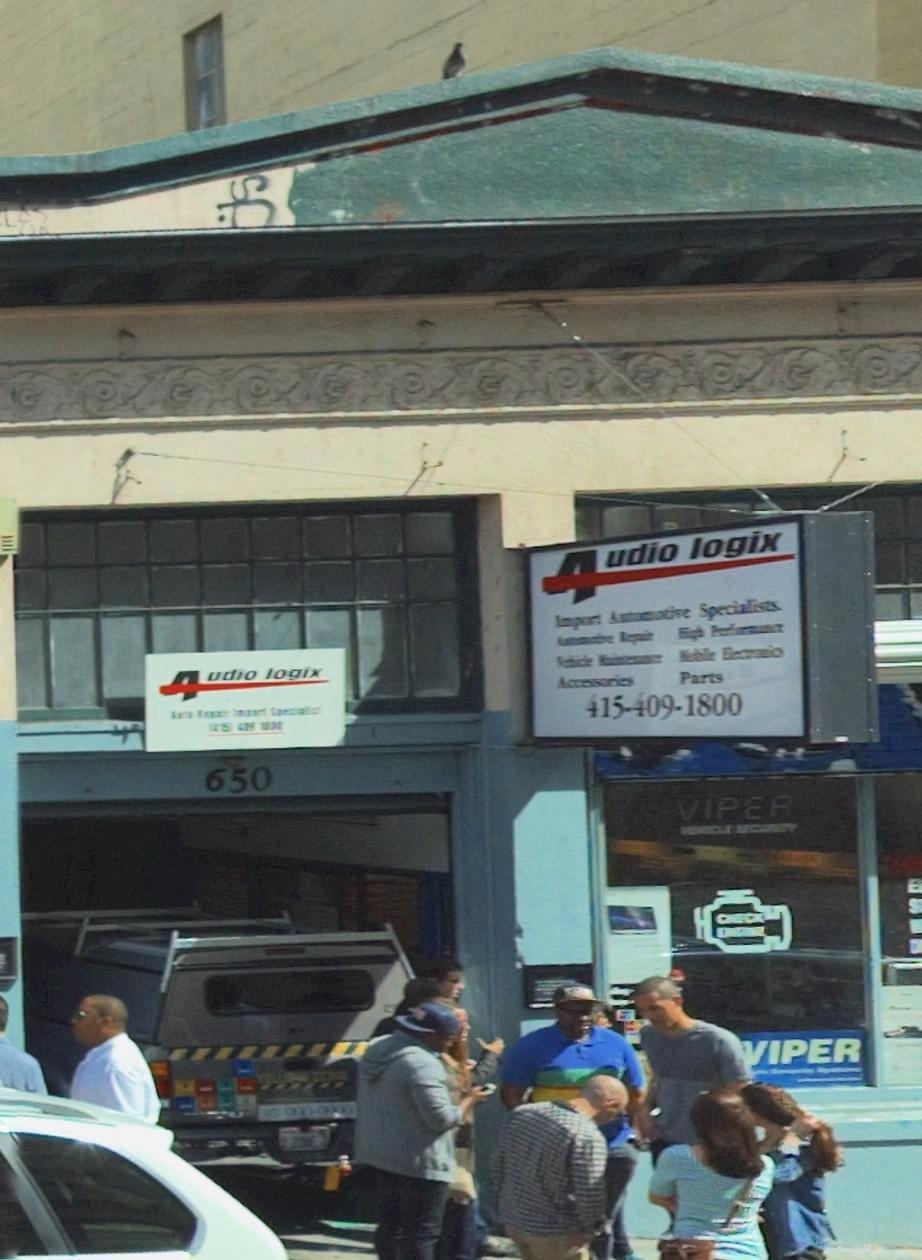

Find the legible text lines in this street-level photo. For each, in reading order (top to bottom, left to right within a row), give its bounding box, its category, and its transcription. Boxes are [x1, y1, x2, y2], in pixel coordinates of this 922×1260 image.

[538, 529, 784, 607] BusinessName: Audio logix
[551, 595, 785, 634] None: Import Automotive Specialists
[157, 663, 330, 706] BusinessName: Audio logix
[551, 670, 640, 694] None: Accessories
[677, 666, 730, 688] None: Parts
[576, 687, 746, 726] None: 415-409-1800
[200, 762, 282, 799] StreetNumber: 650
[671, 788, 800, 826] None: VIPER
[904, 877, 921, 898] None: E
[711, 909, 768, 926] None: CHECK
[712, 923, 769, 943] None: ENGINE
[737, 1033, 865, 1069] None: VIPER